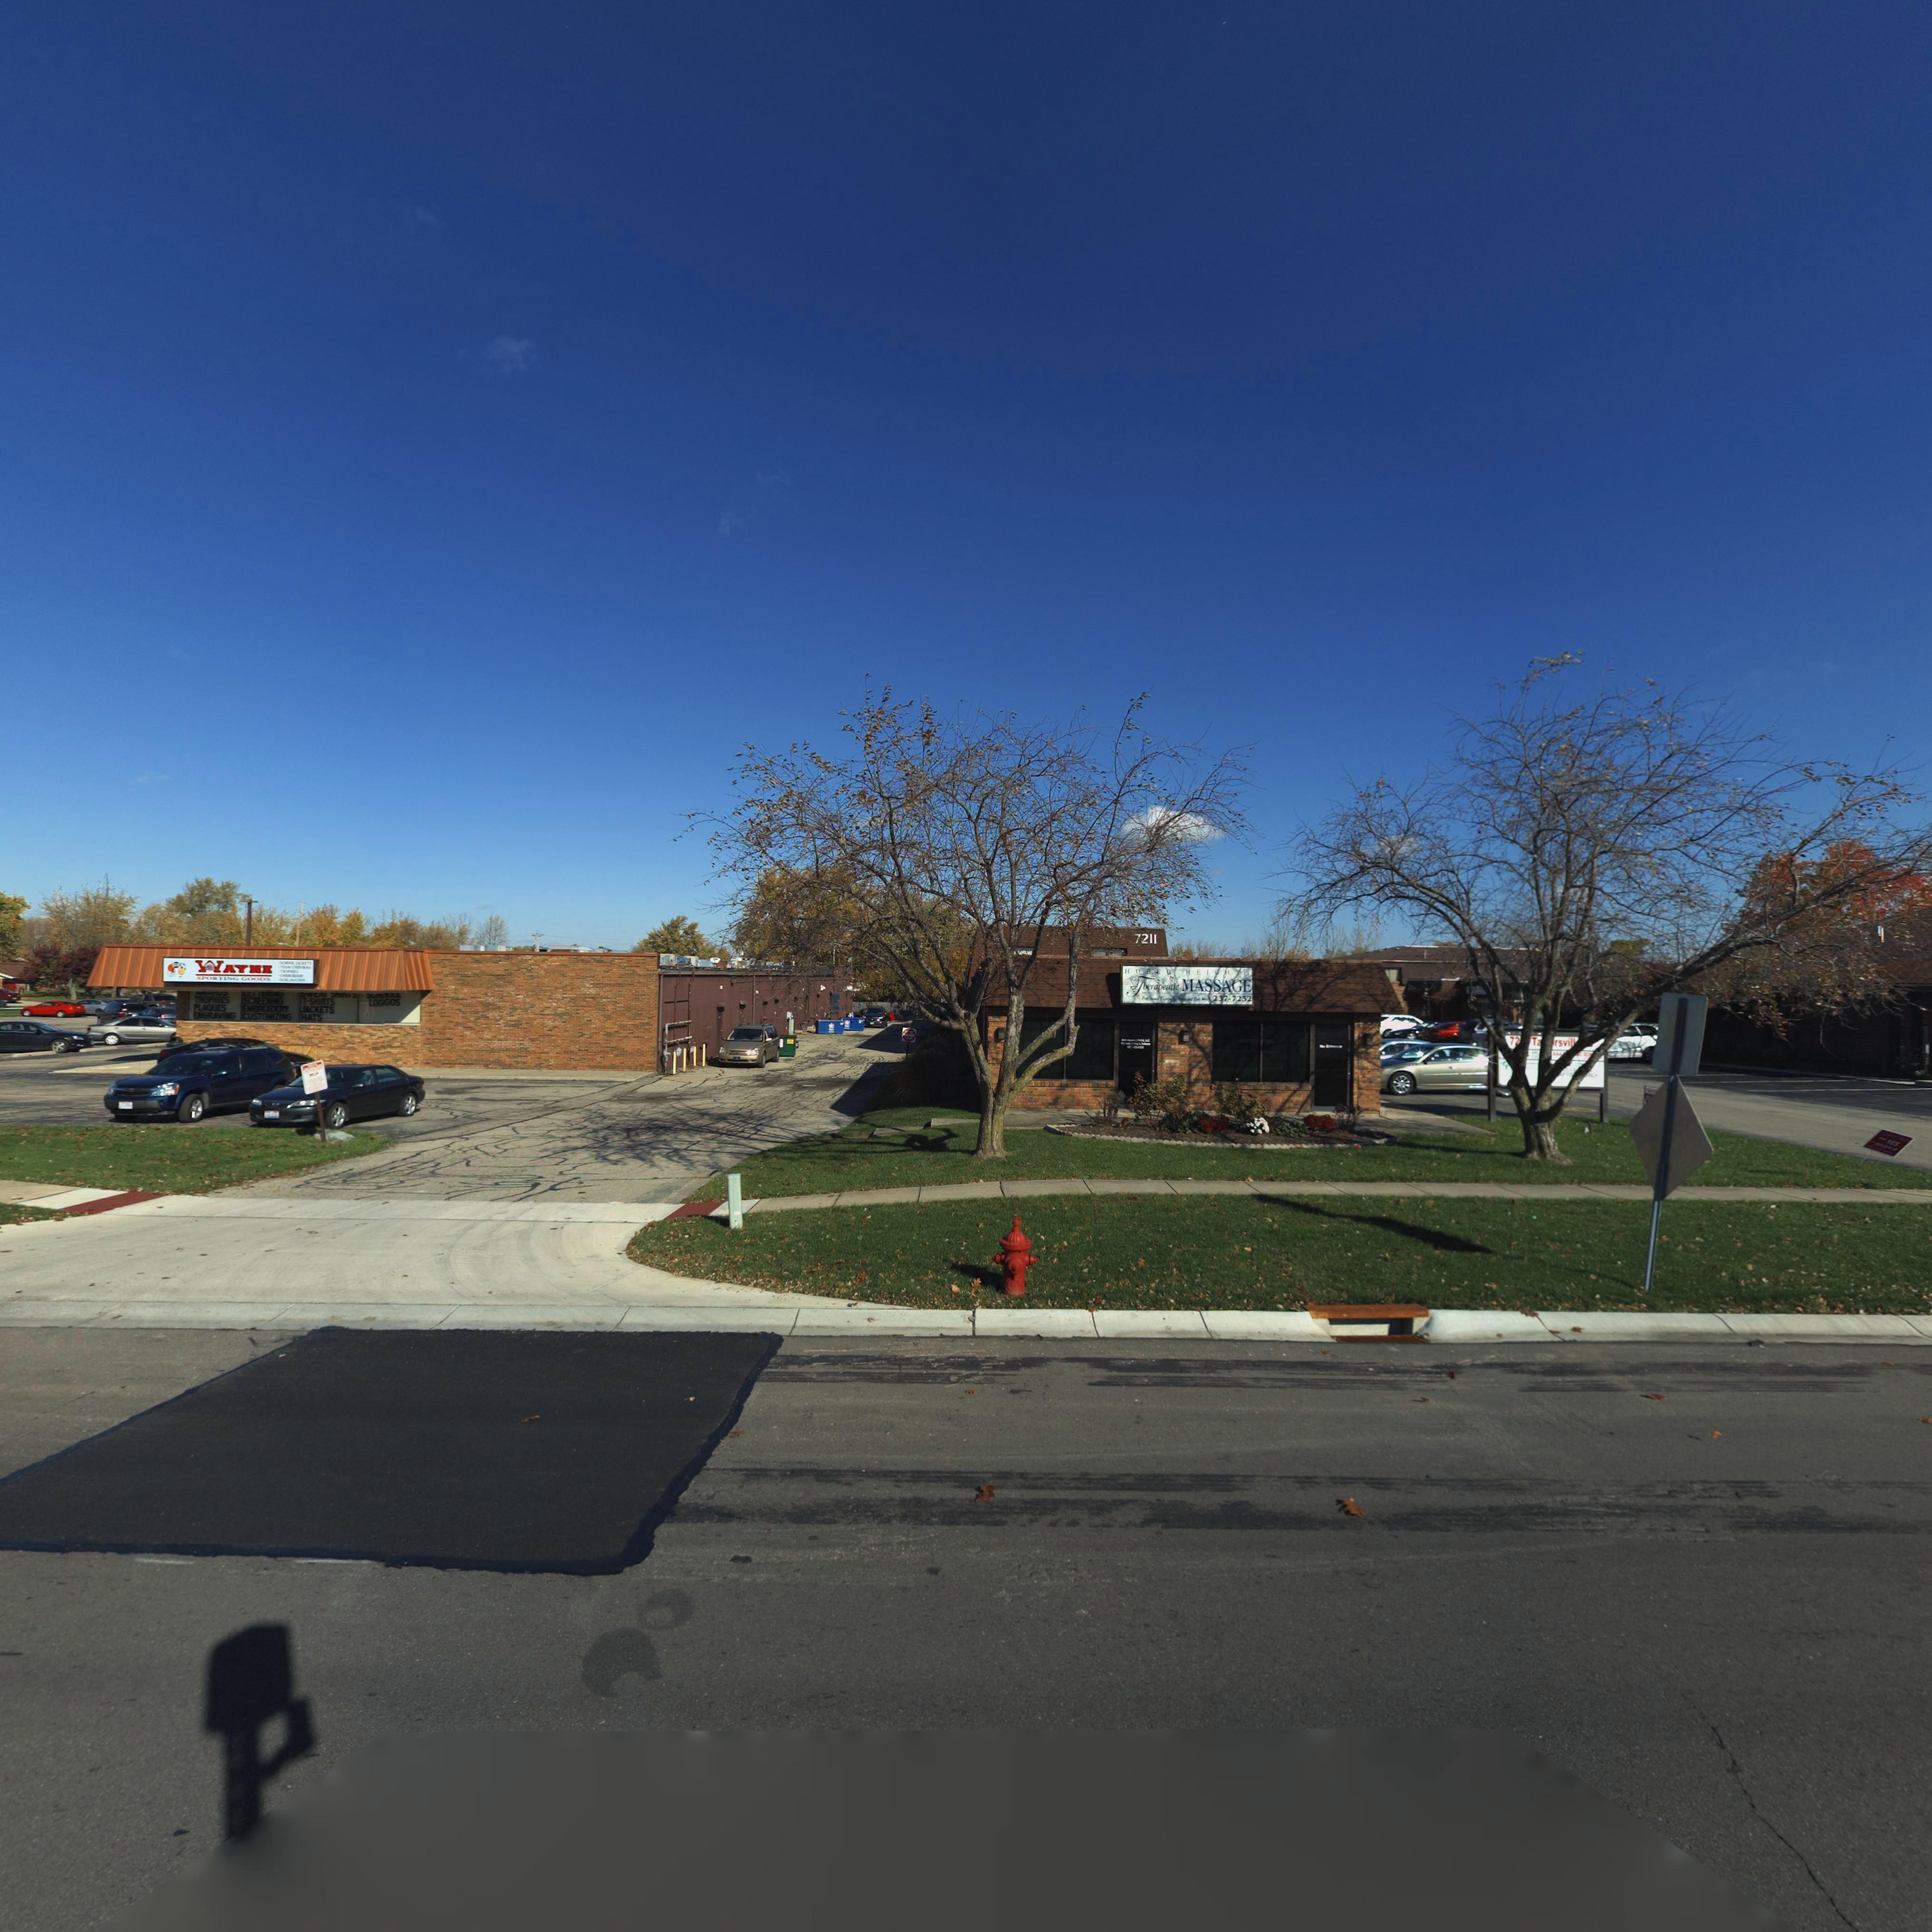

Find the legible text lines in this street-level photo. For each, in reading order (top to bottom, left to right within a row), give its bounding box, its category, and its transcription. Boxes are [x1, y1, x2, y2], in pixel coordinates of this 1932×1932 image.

[1134, 933, 1157, 944] StreetNumber: 7211
[194, 959, 273, 974] BusinessName: WAYNE
[1123, 968, 1250, 976] BusinessName: HUBE* HEIGHTS
[196, 976, 271, 982] BusinessName: SPORTING GOODS
[1128, 975, 1252, 993] BusinessName: Therapeutic MASSAGE
[1509, 1036, 1520, 1047] StreetNumber: 72
[1531, 1036, 1576, 1047] StreetName: T****rsvill